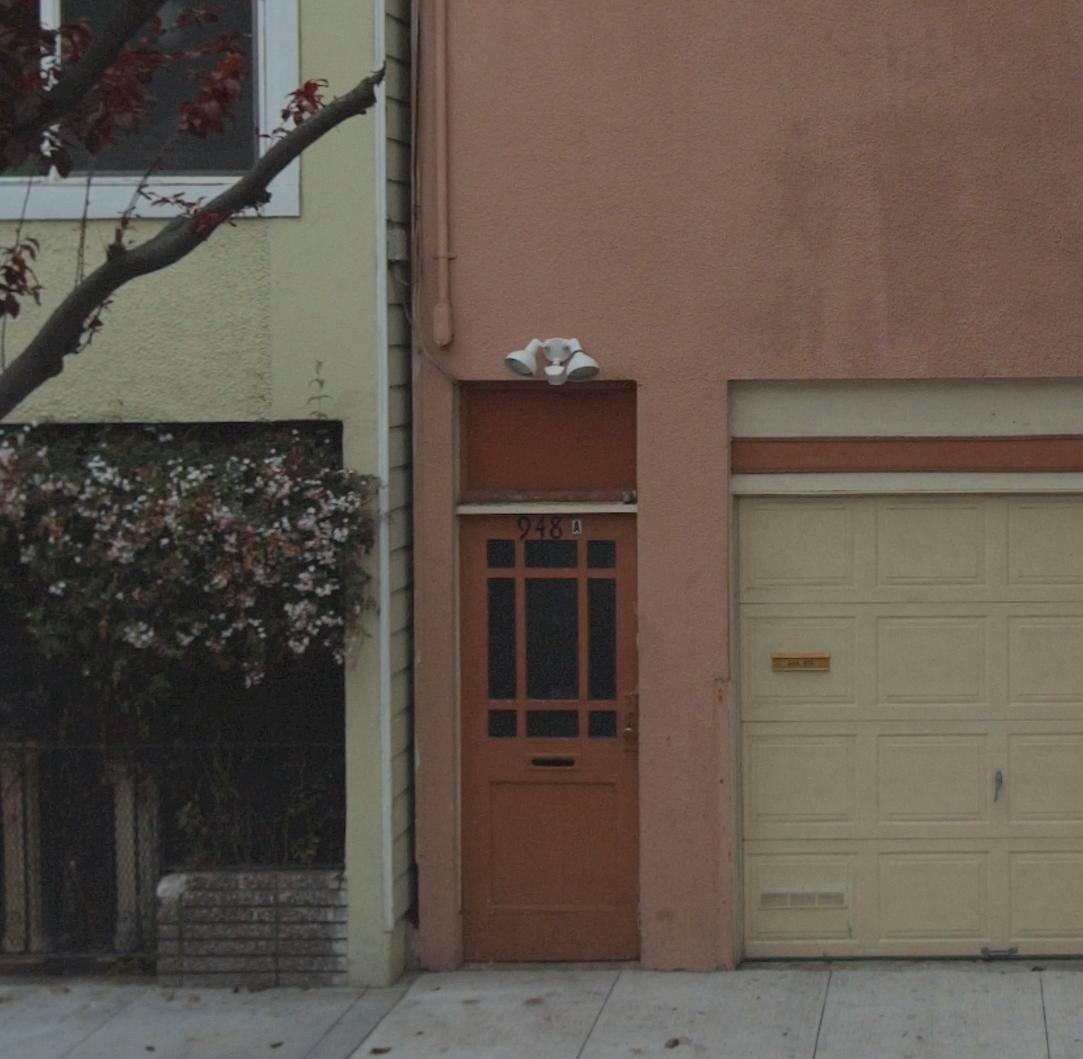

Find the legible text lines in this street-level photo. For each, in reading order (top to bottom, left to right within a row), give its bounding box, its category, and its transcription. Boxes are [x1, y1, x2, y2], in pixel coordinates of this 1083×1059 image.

[515, 514, 583, 543] StreetNumber: 948A